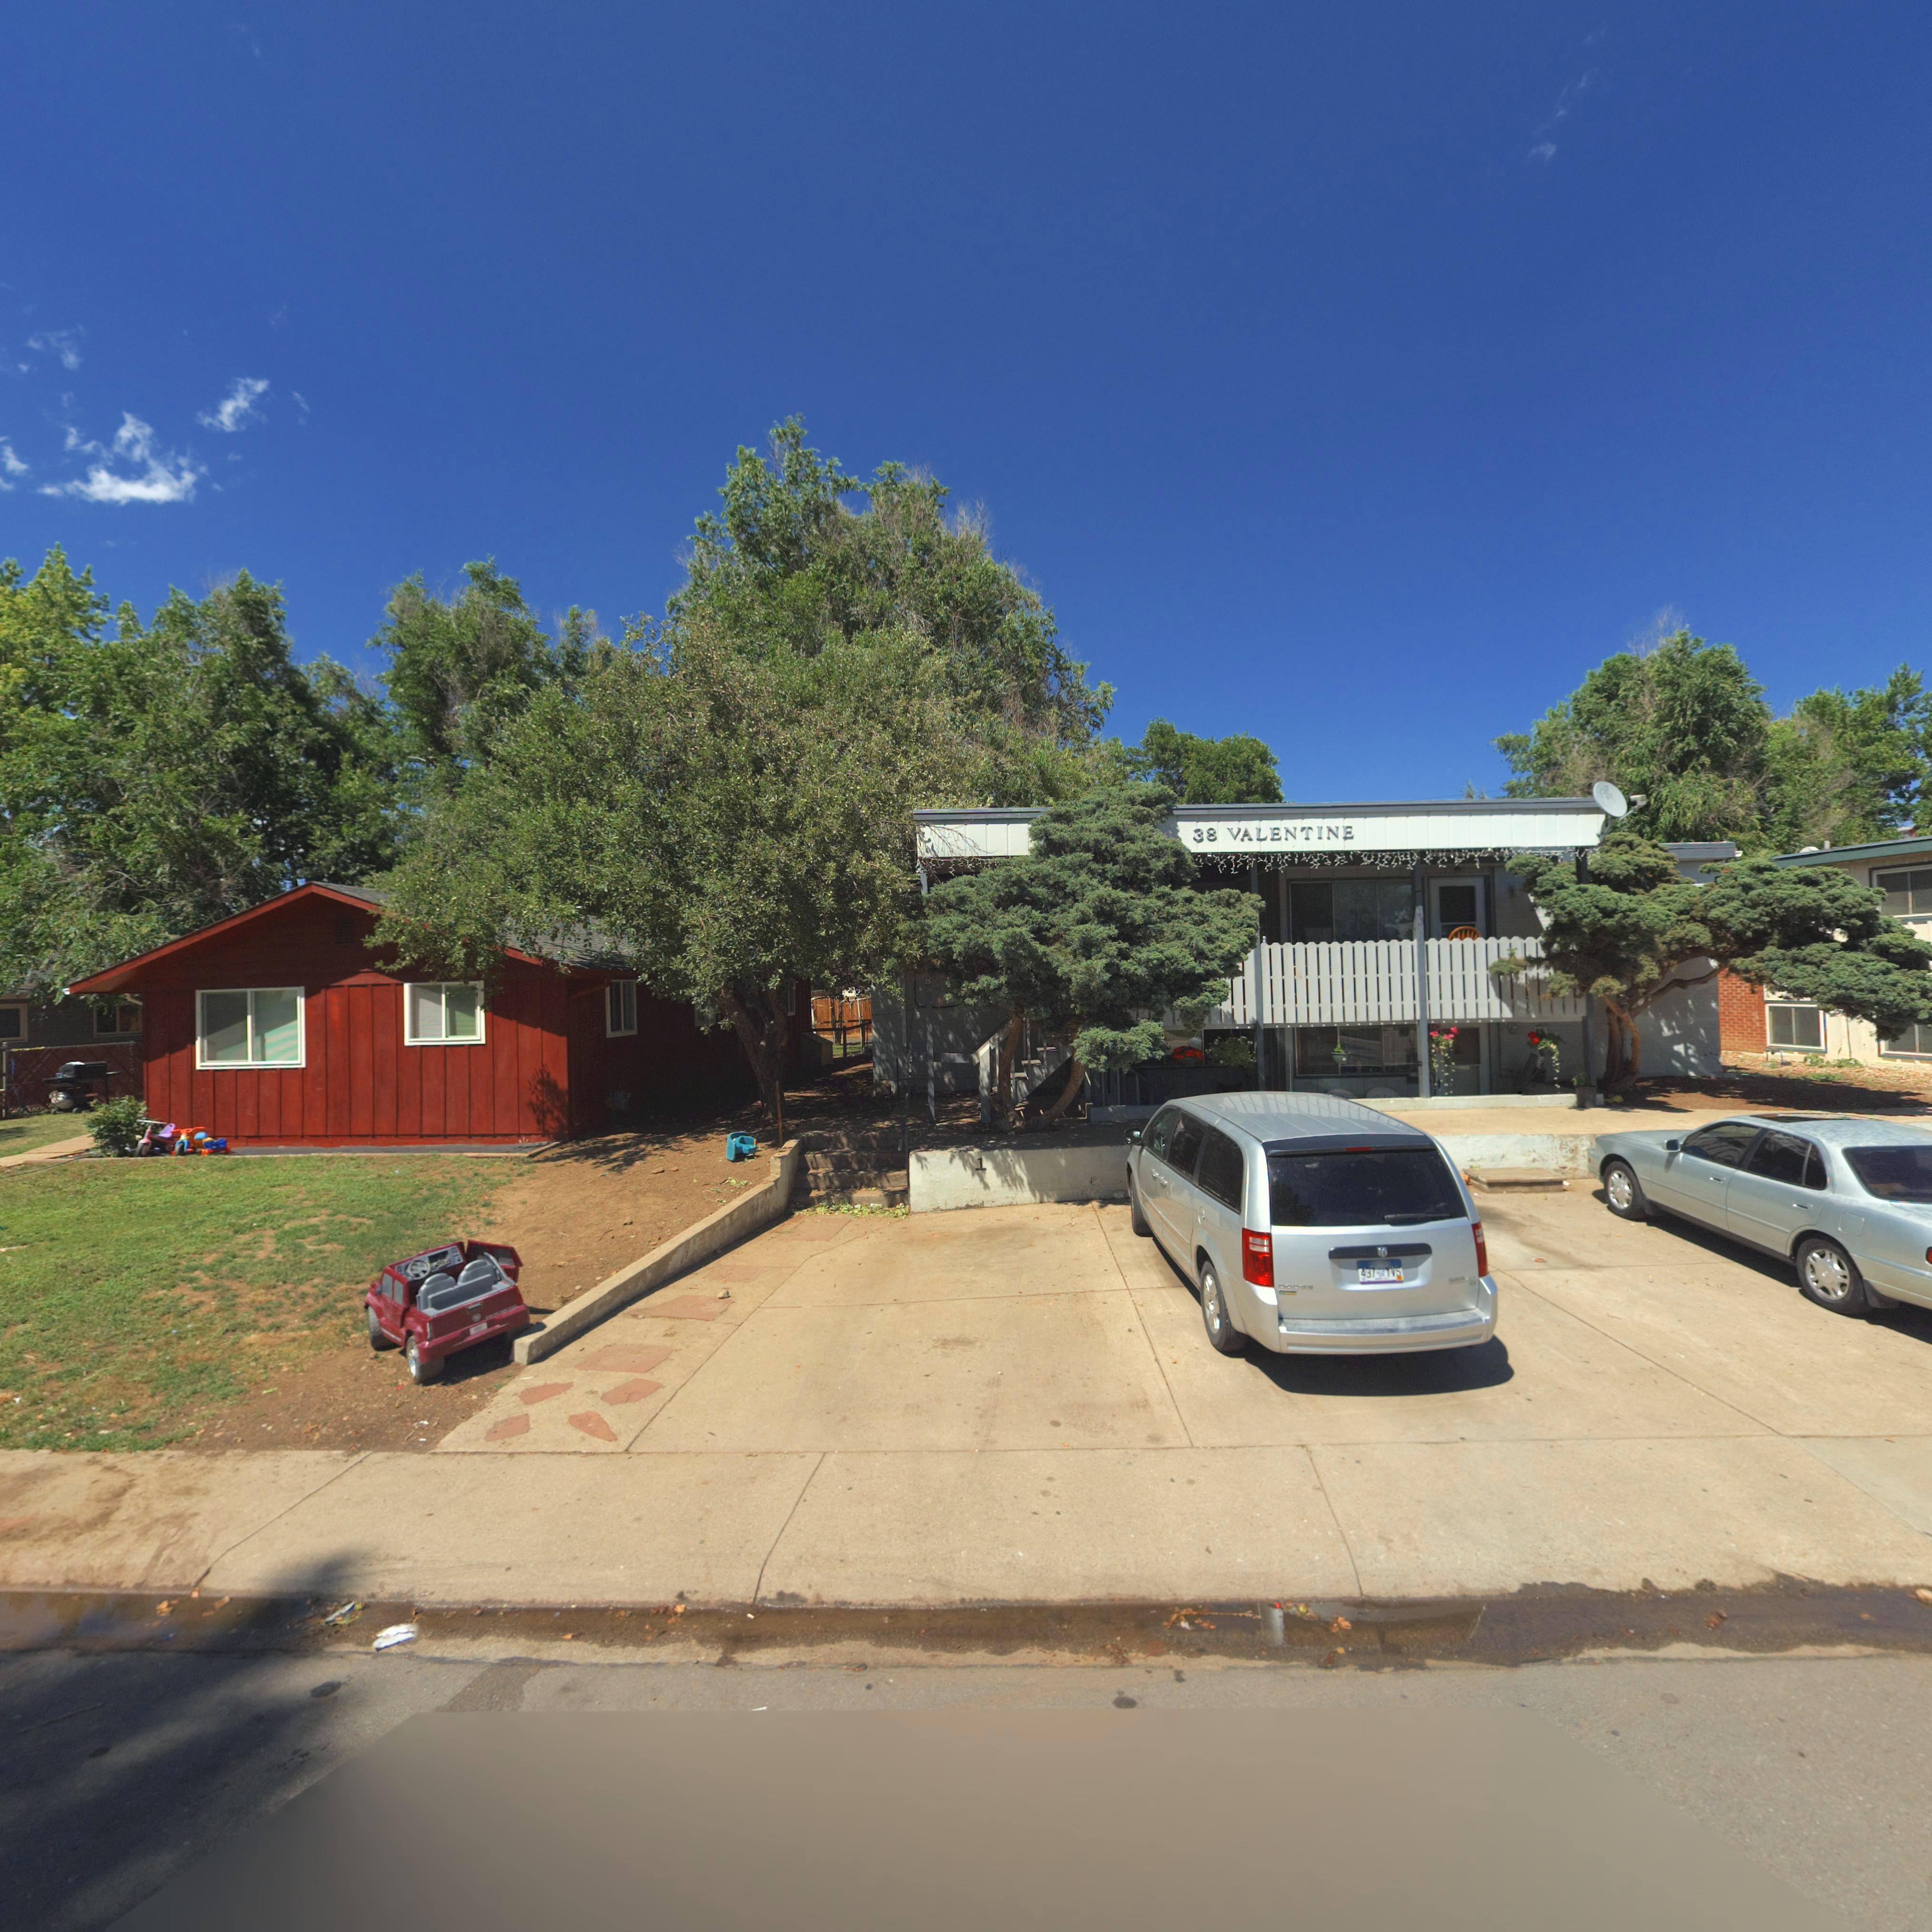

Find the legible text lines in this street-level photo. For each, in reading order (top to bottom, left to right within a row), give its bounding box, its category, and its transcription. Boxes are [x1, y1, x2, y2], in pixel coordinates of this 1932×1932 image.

[1192, 827, 1217, 840] StreetNumber: 38
[1225, 824, 1354, 841] StreetName: VALENTINE